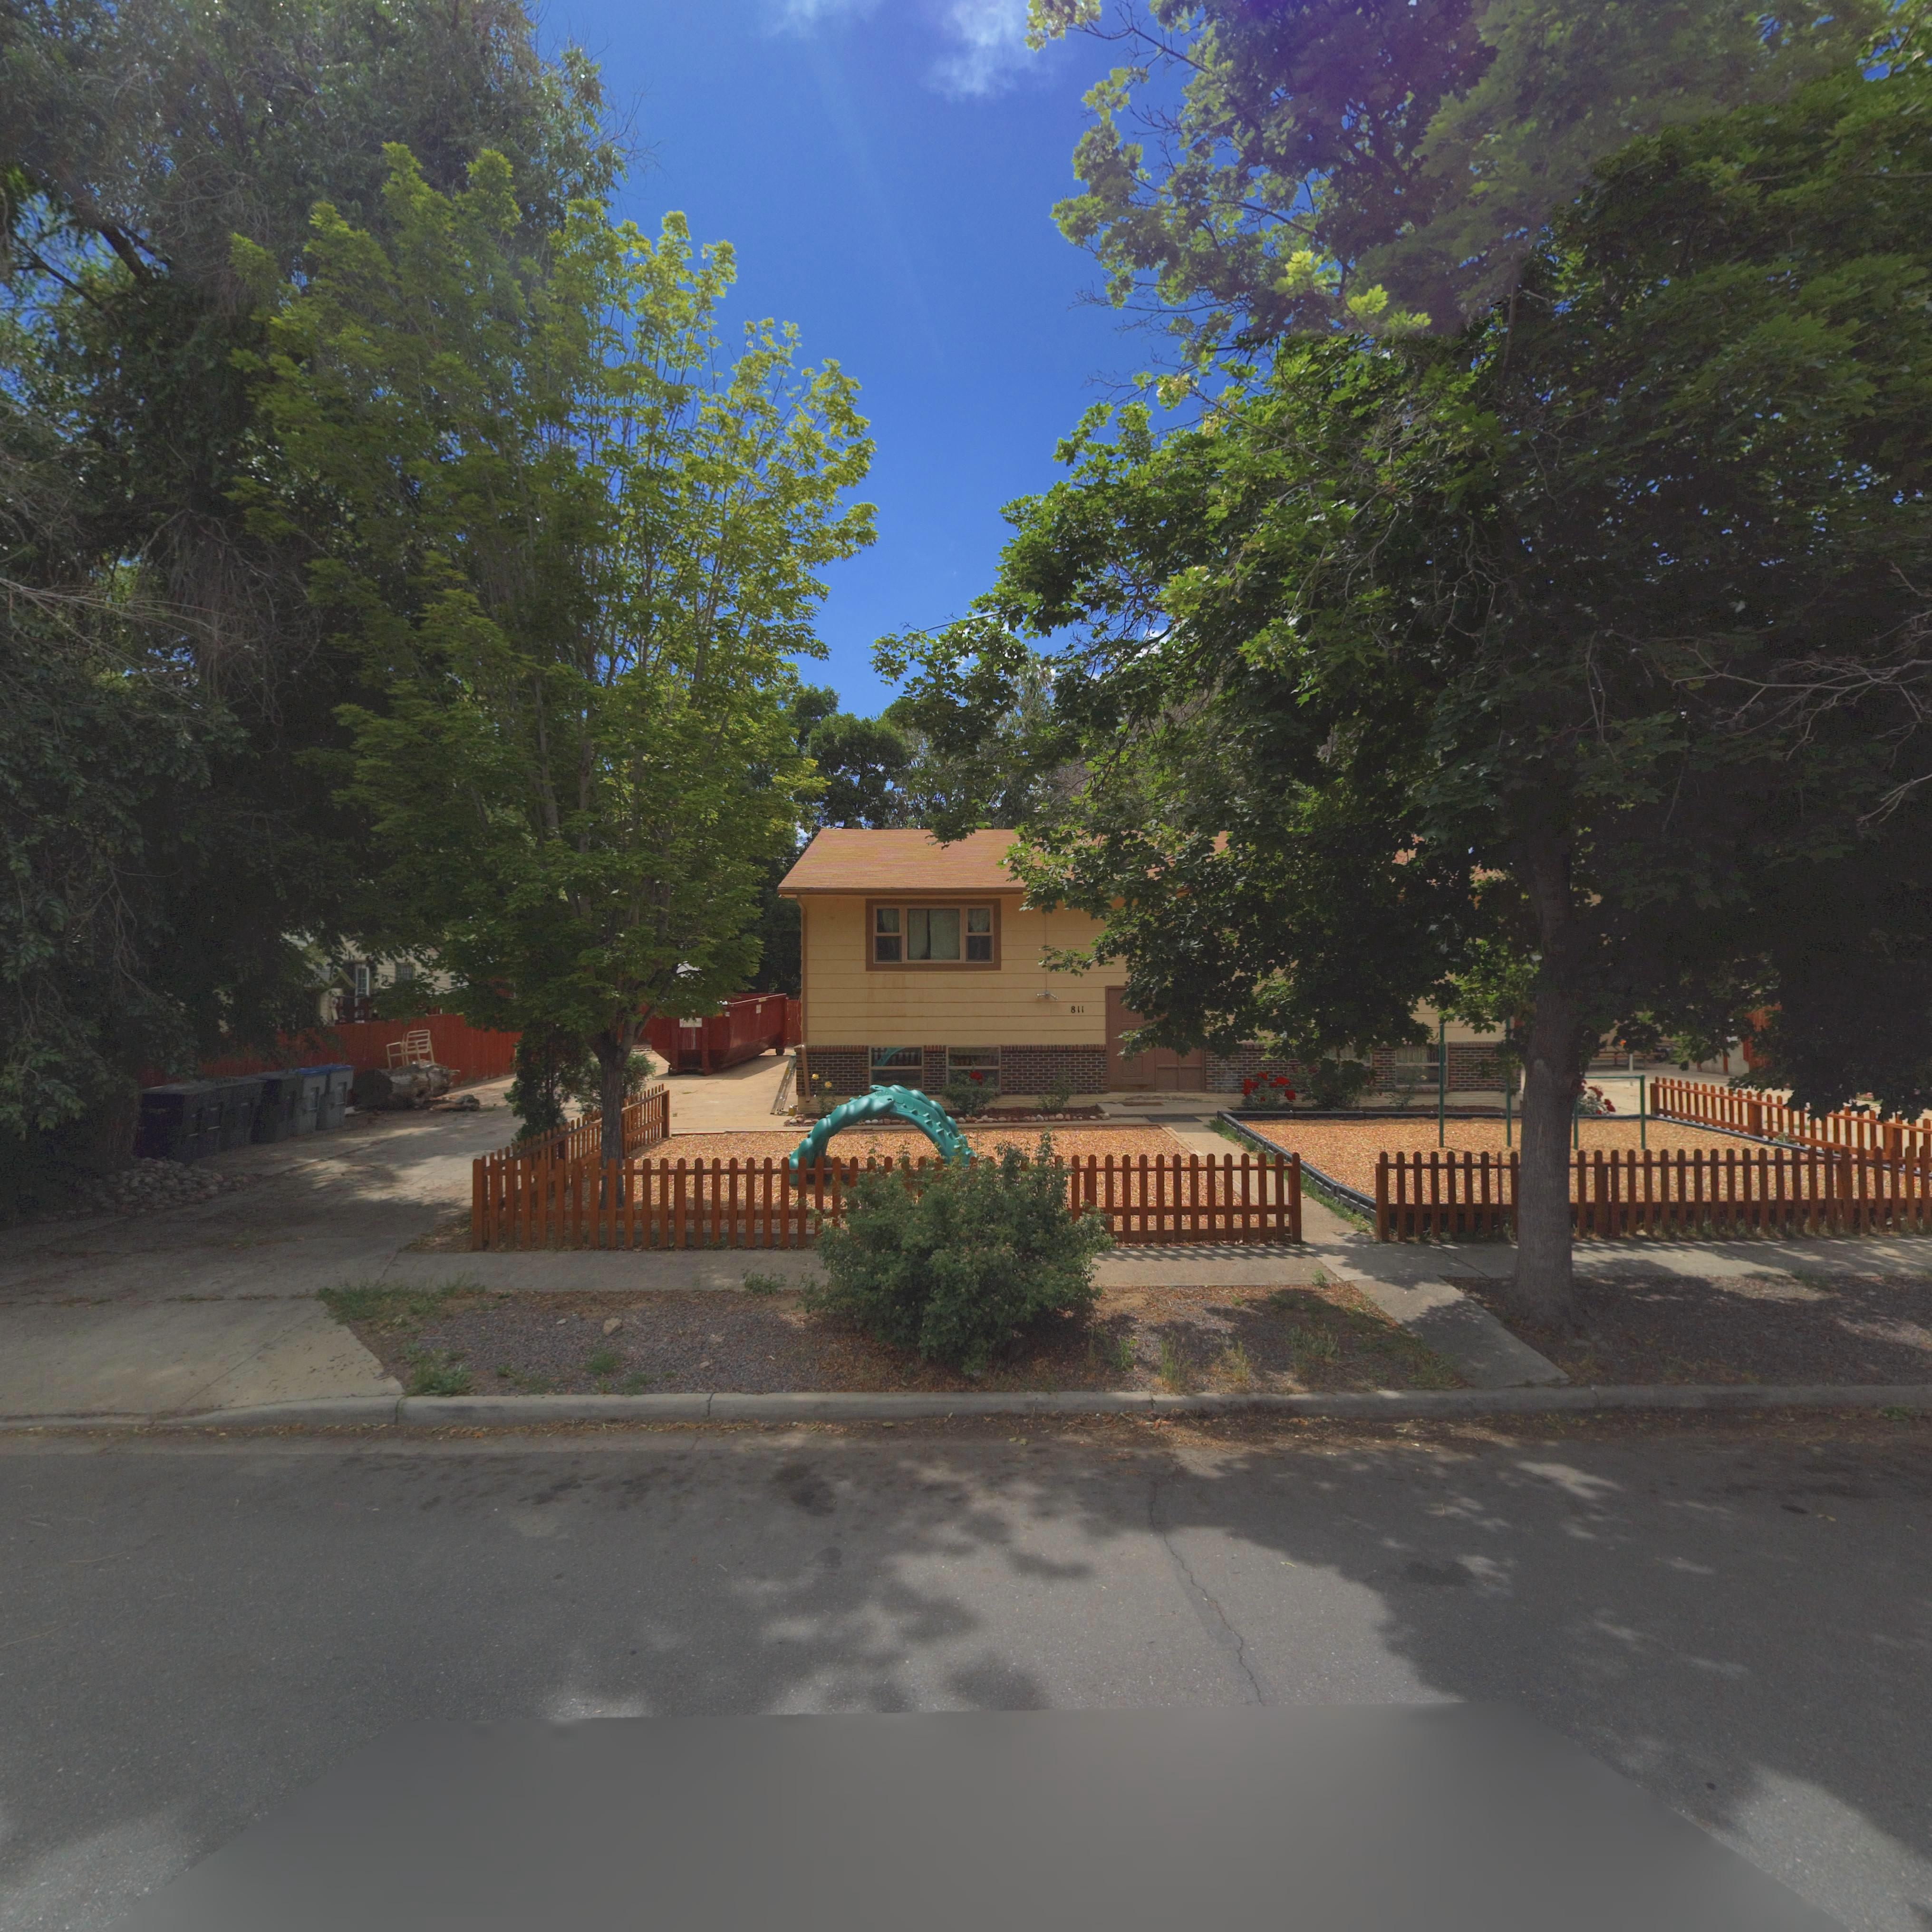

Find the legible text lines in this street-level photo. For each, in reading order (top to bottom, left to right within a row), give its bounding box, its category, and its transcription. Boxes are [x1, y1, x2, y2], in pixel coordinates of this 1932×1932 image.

[1071, 1005, 1084, 1013] StreetNumber: 811